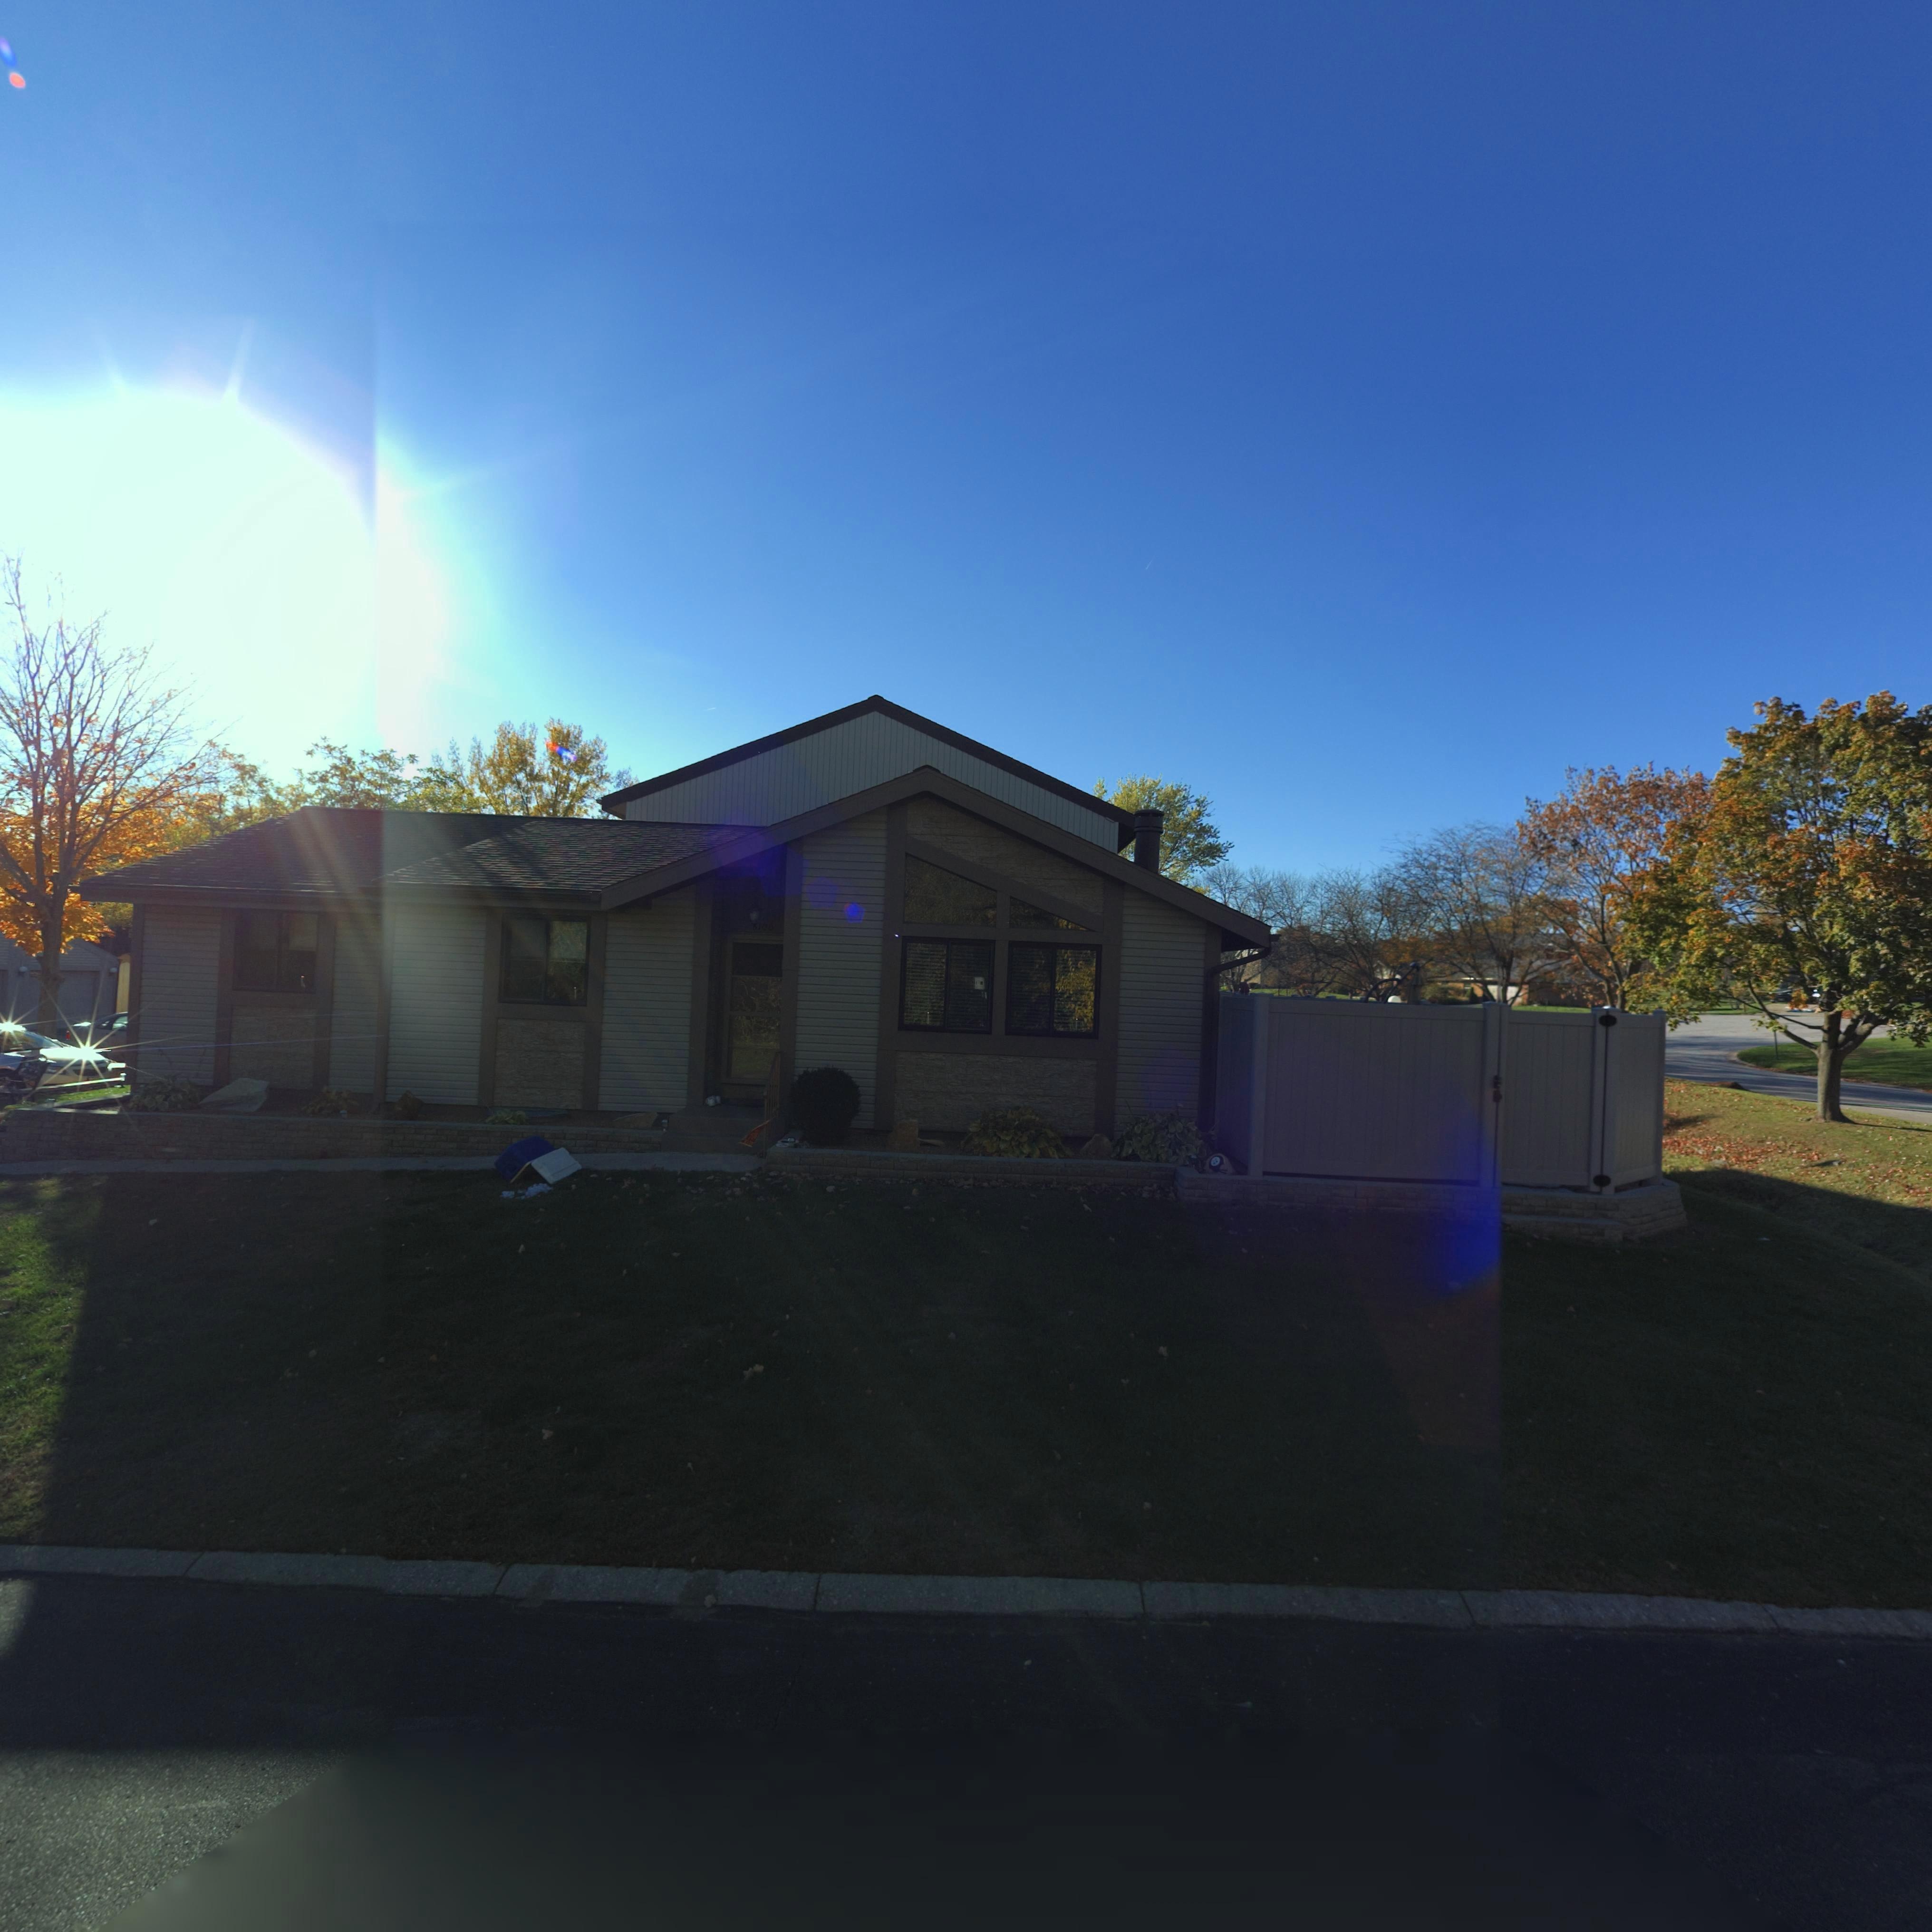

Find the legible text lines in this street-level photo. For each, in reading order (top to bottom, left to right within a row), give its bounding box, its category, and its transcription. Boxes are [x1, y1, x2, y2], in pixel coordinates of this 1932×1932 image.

[752, 922, 774, 932] StreetNumber: 6100